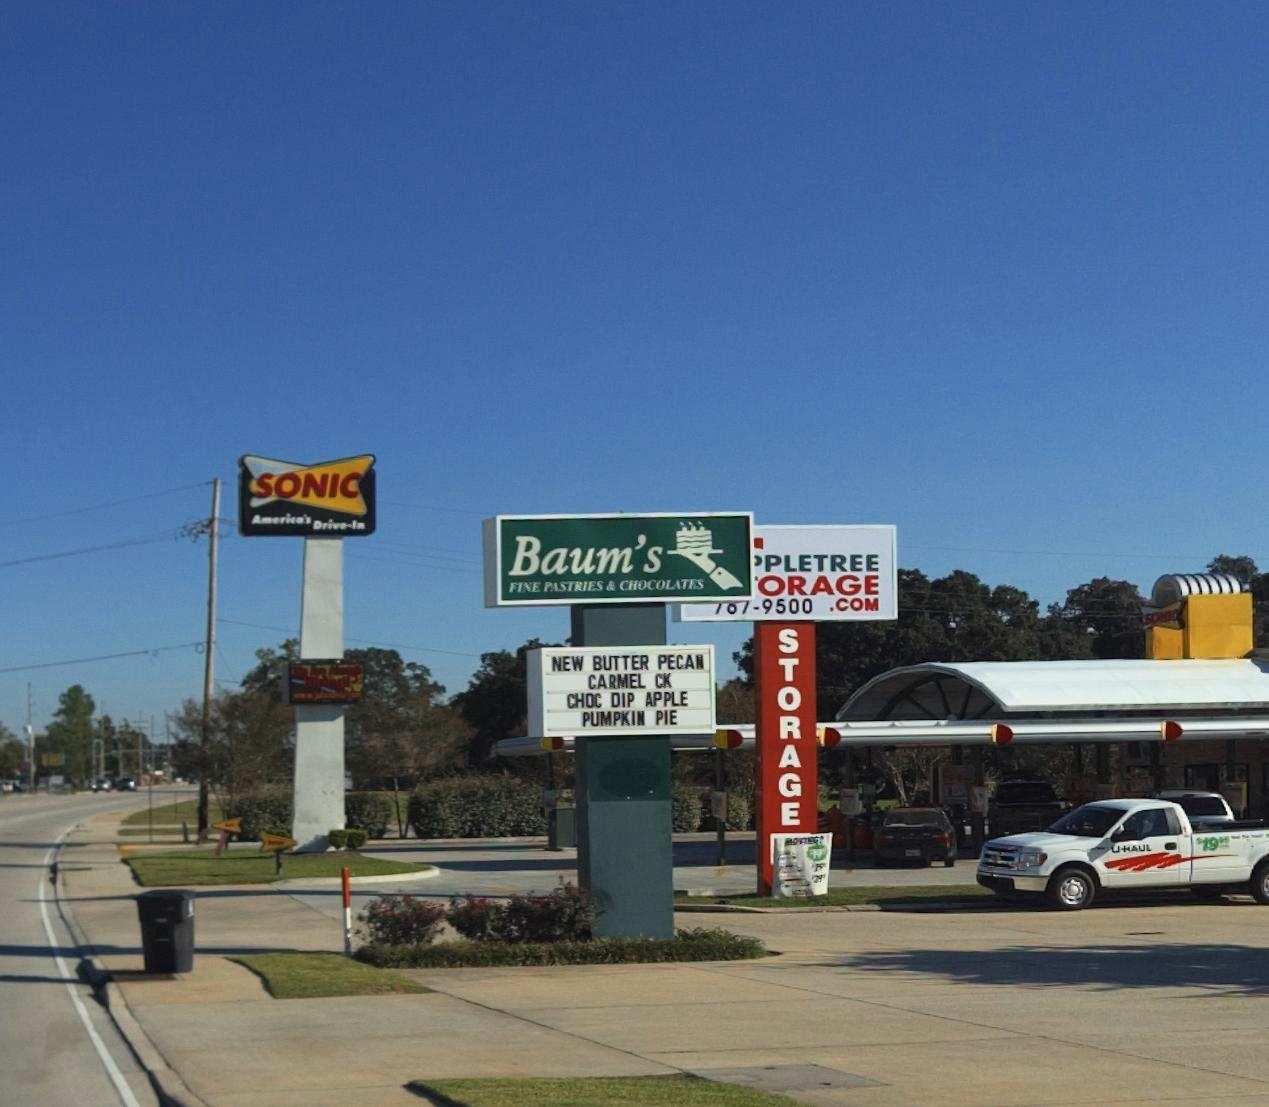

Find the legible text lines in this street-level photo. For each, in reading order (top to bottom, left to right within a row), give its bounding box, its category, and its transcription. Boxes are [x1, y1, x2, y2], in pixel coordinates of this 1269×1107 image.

[253, 470, 363, 499] BusinessName: SONIC
[248, 512, 314, 526] None: America's
[311, 517, 366, 531] None: Drive-In
[507, 533, 664, 577] BusinessName: Baum's
[763, 552, 881, 575] BusinessName: PLETREE
[507, 577, 706, 594] None: FINE PASTRIES & CHOCOLATES
[758, 573, 881, 597] BusinessName: ORAGE
[761, 596, 880, 615] None: 9500 .COM
[1143, 609, 1179, 626] BusinessName: SONIC
[551, 653, 707, 673] None: NEW BUTTER PECAN
[586, 672, 675, 692] None: CARMEL CK
[565, 690, 690, 710] None: CHOC DIP APPLE
[582, 708, 679, 729] None: PUMPKIN PIE
[775, 625, 804, 827] None: STORAGE
[783, 835, 826, 848] None: MOVING?
[812, 848, 823, 860] None: 19
[1111, 843, 1153, 854] None: UHAUL
[1200, 835, 1230, 852] None: 1995
[811, 874, 824, 885] None: 29